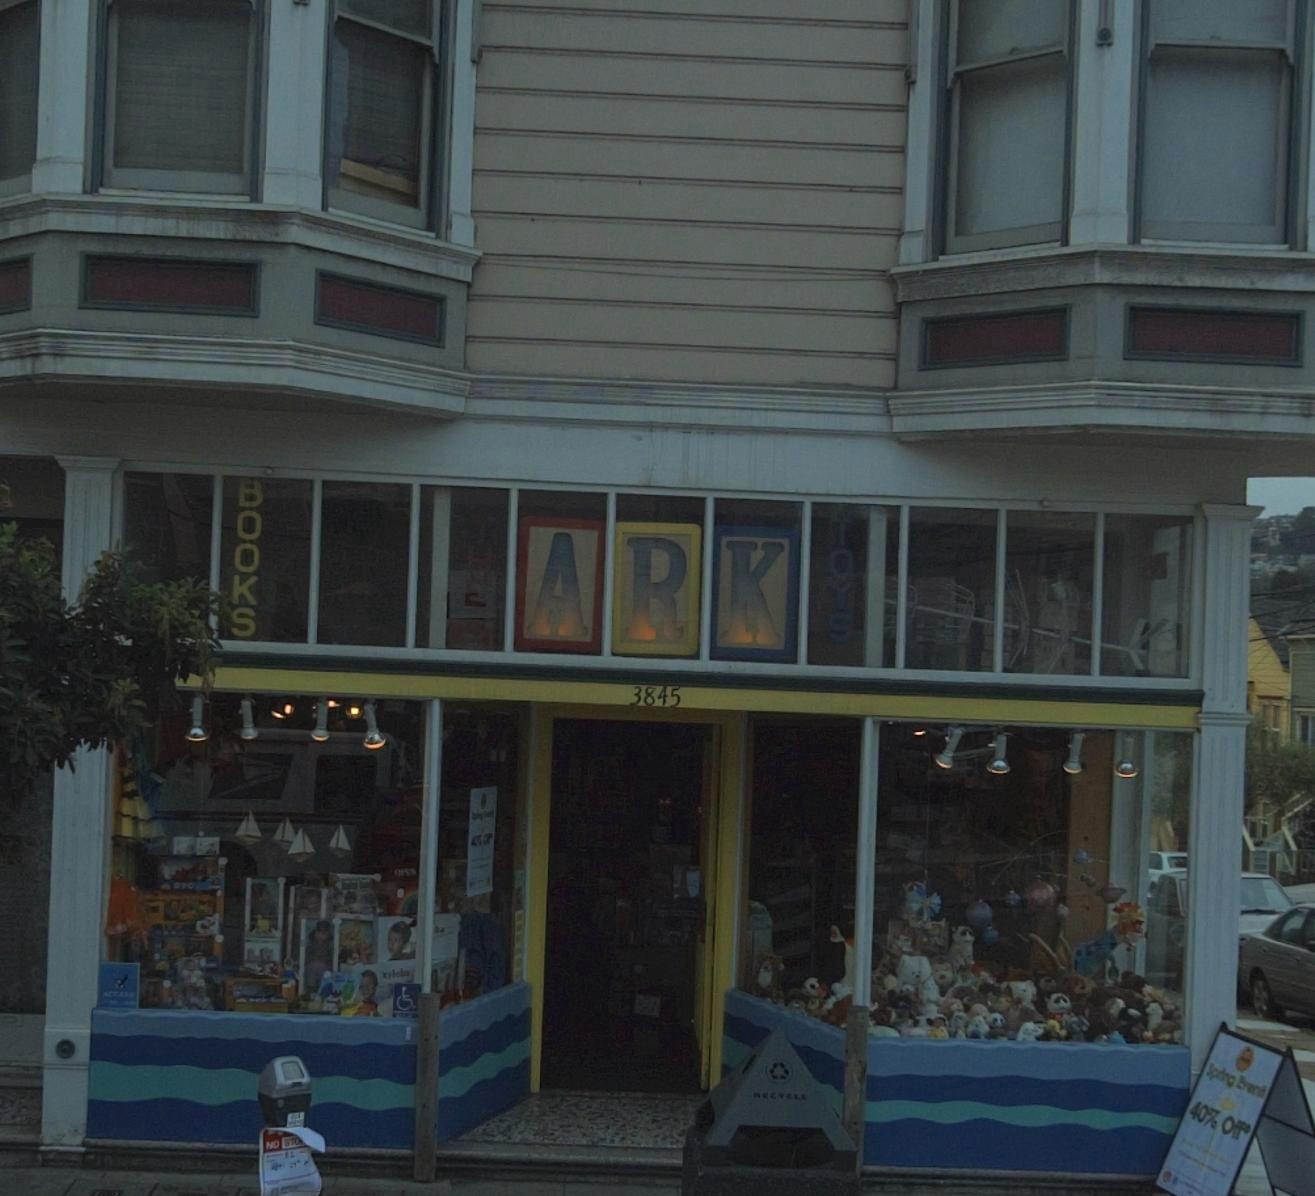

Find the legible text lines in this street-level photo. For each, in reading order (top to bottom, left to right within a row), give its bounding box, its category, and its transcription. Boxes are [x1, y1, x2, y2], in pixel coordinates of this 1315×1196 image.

[229, 476, 266, 639] None: BOOKS
[523, 531, 788, 647] BusinessName: ARK
[826, 516, 858, 645] None: TOYS
[627, 685, 683, 707] StreetNumber: 3845
[265, 1139, 281, 1151] None: NO
[752, 1090, 808, 1101] None: RECYCLE
[1184, 1095, 1249, 1146] None: 40% Off
[1203, 1059, 1271, 1103] None: Sp*ing B****